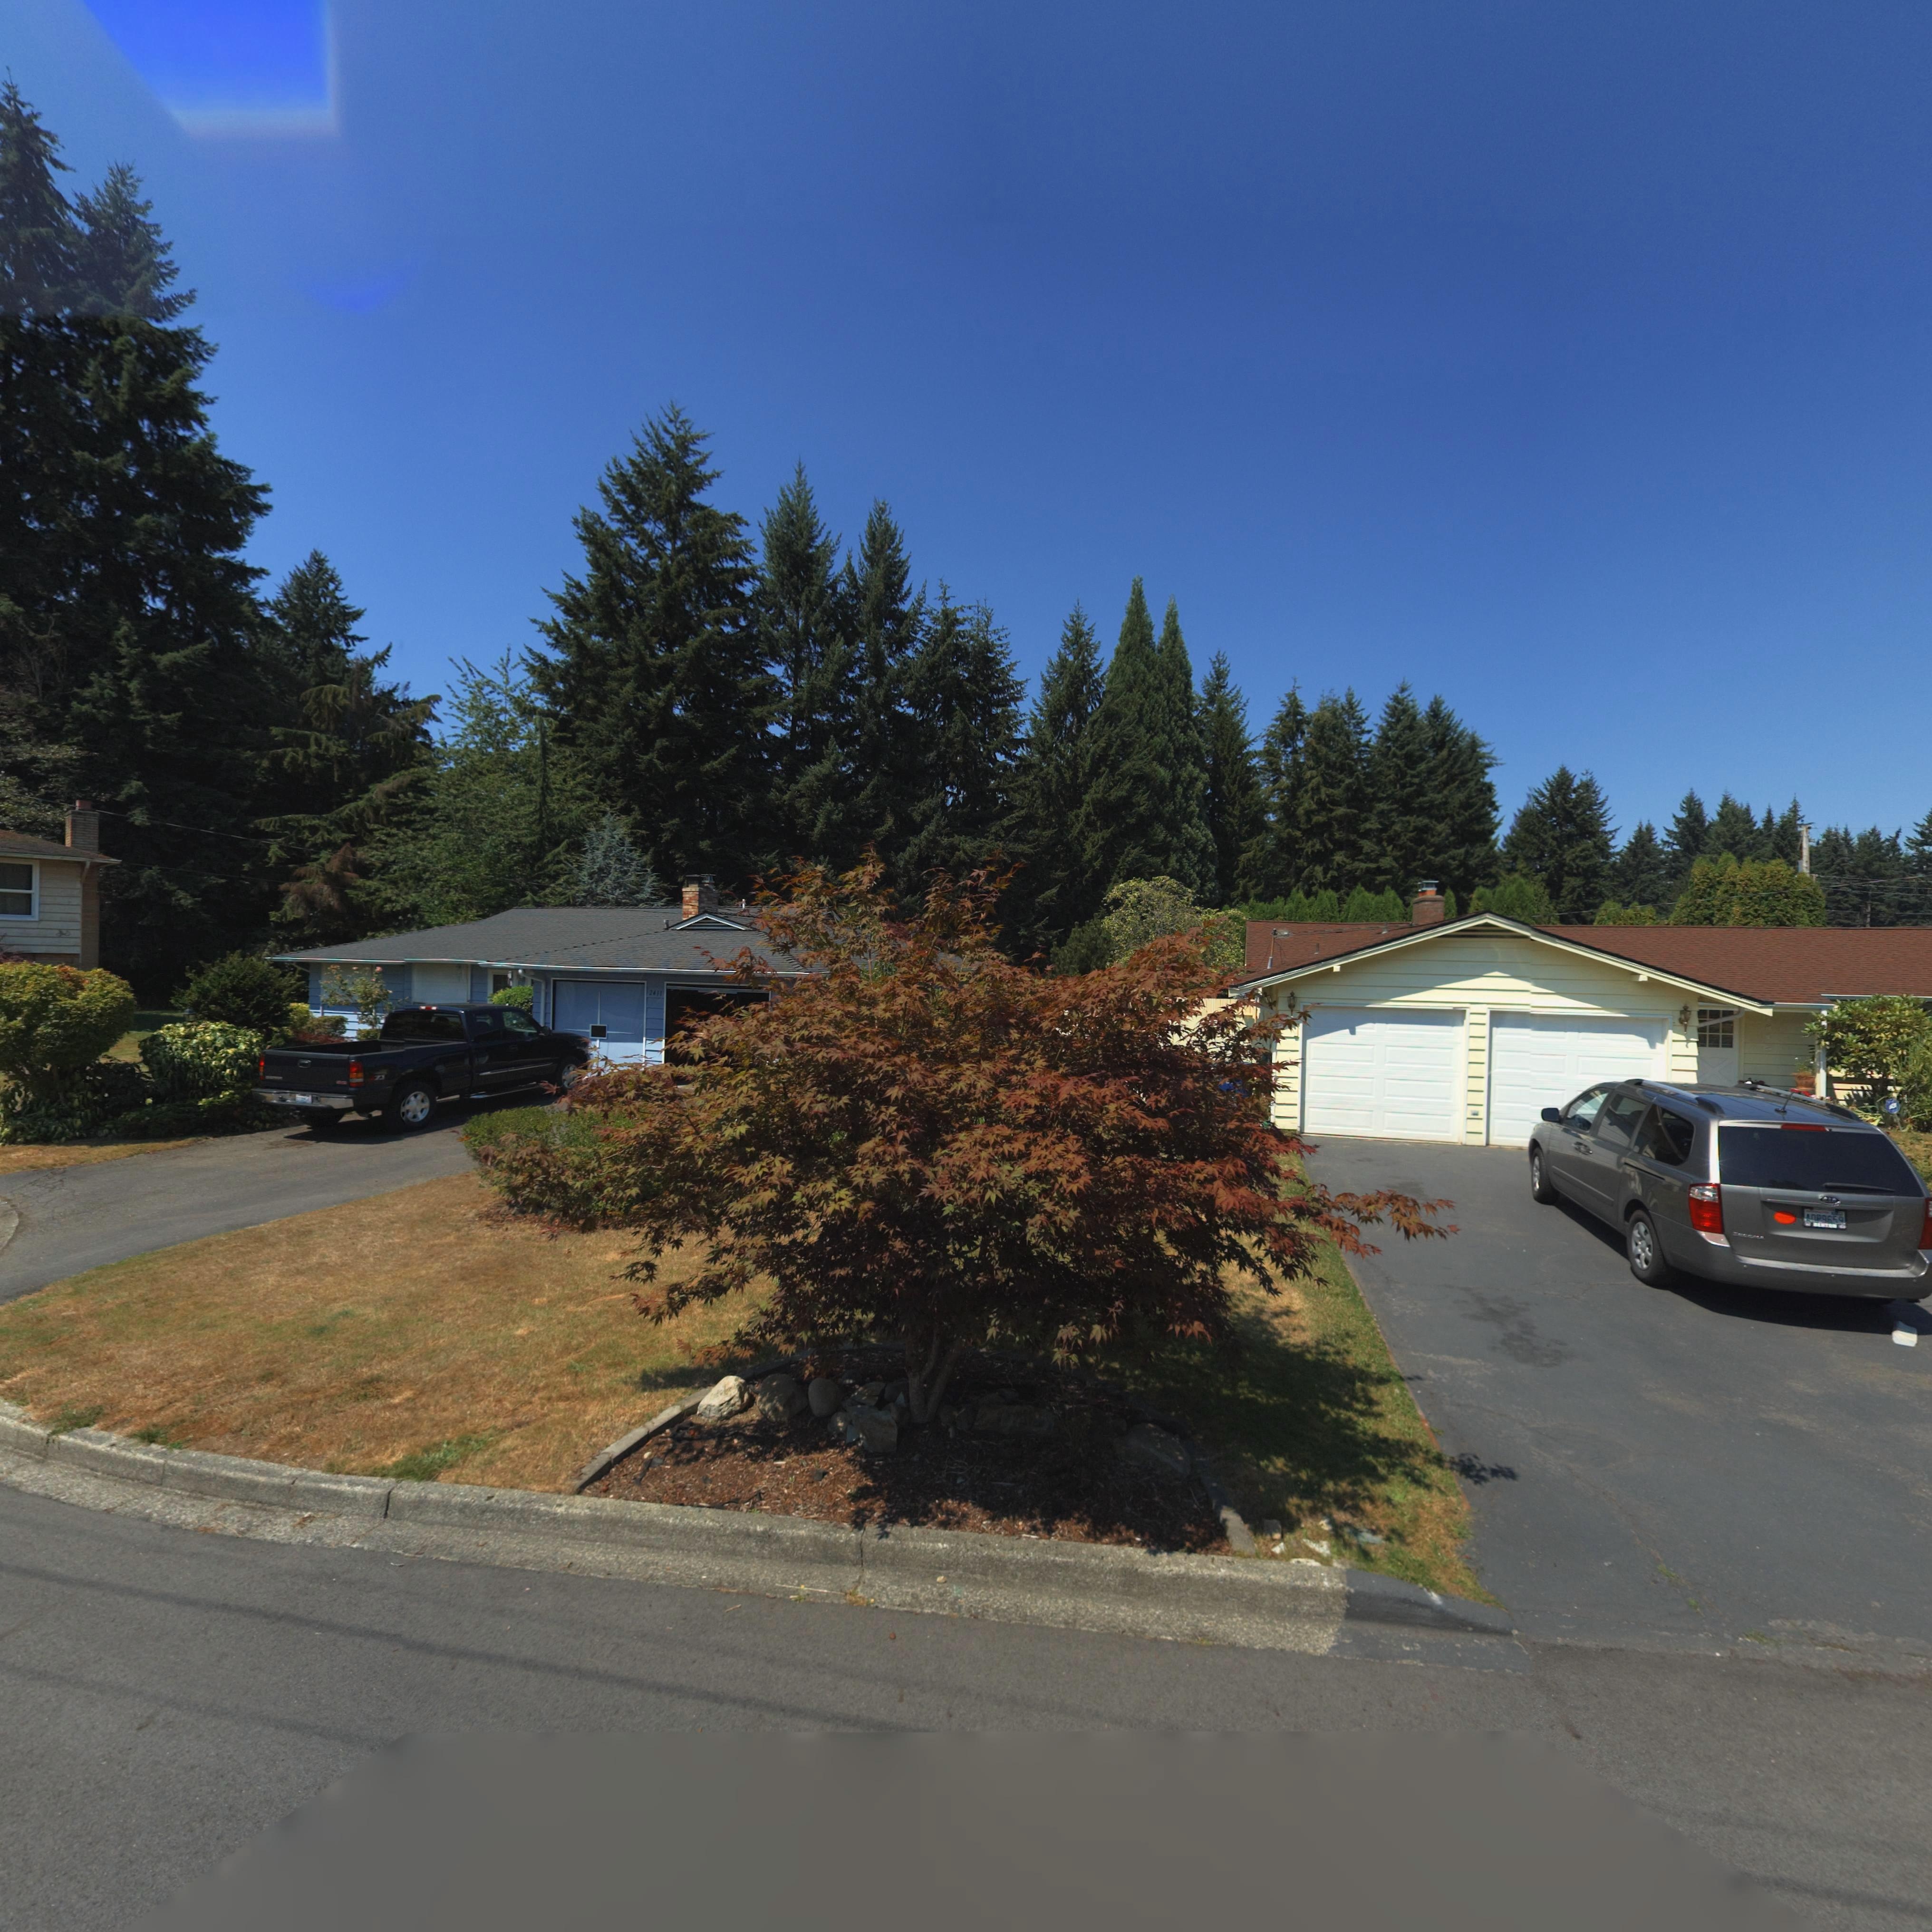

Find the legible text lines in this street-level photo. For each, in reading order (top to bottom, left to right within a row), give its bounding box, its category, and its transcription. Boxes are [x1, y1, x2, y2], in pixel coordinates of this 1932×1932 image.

[649, 989, 662, 996] StreetNumber: 2411